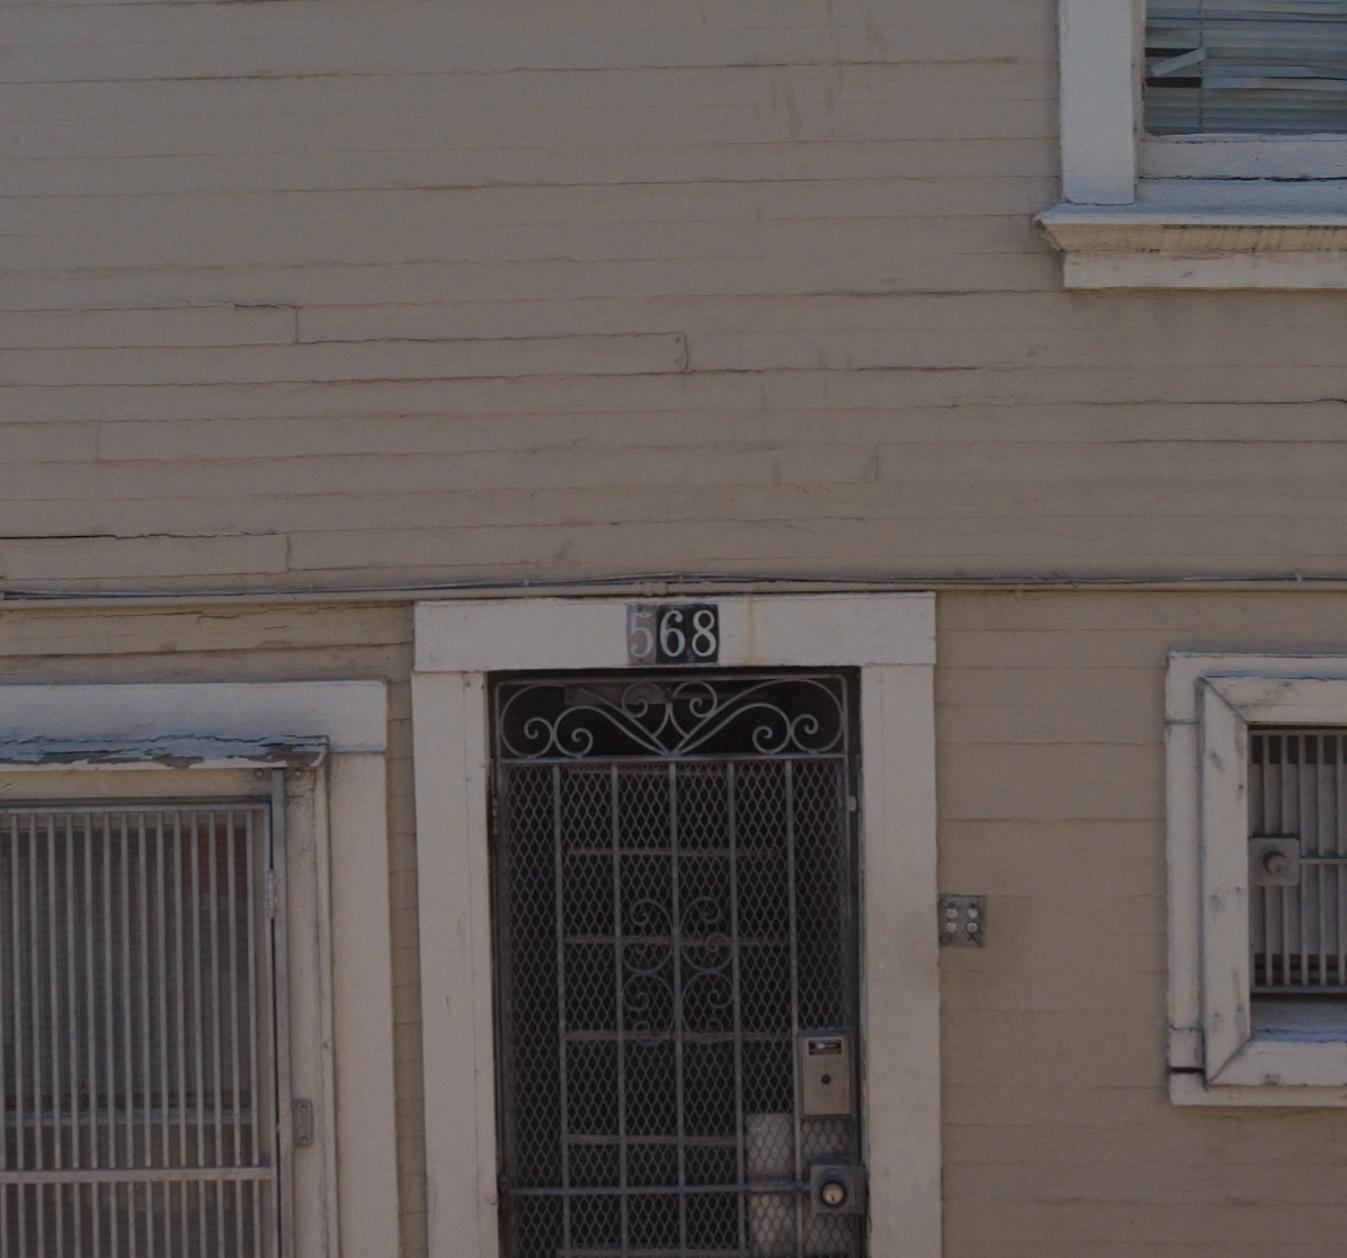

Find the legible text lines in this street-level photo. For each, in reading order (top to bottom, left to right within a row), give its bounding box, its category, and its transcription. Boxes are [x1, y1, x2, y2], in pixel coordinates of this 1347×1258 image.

[629, 608, 718, 660] StreetNumber: 568